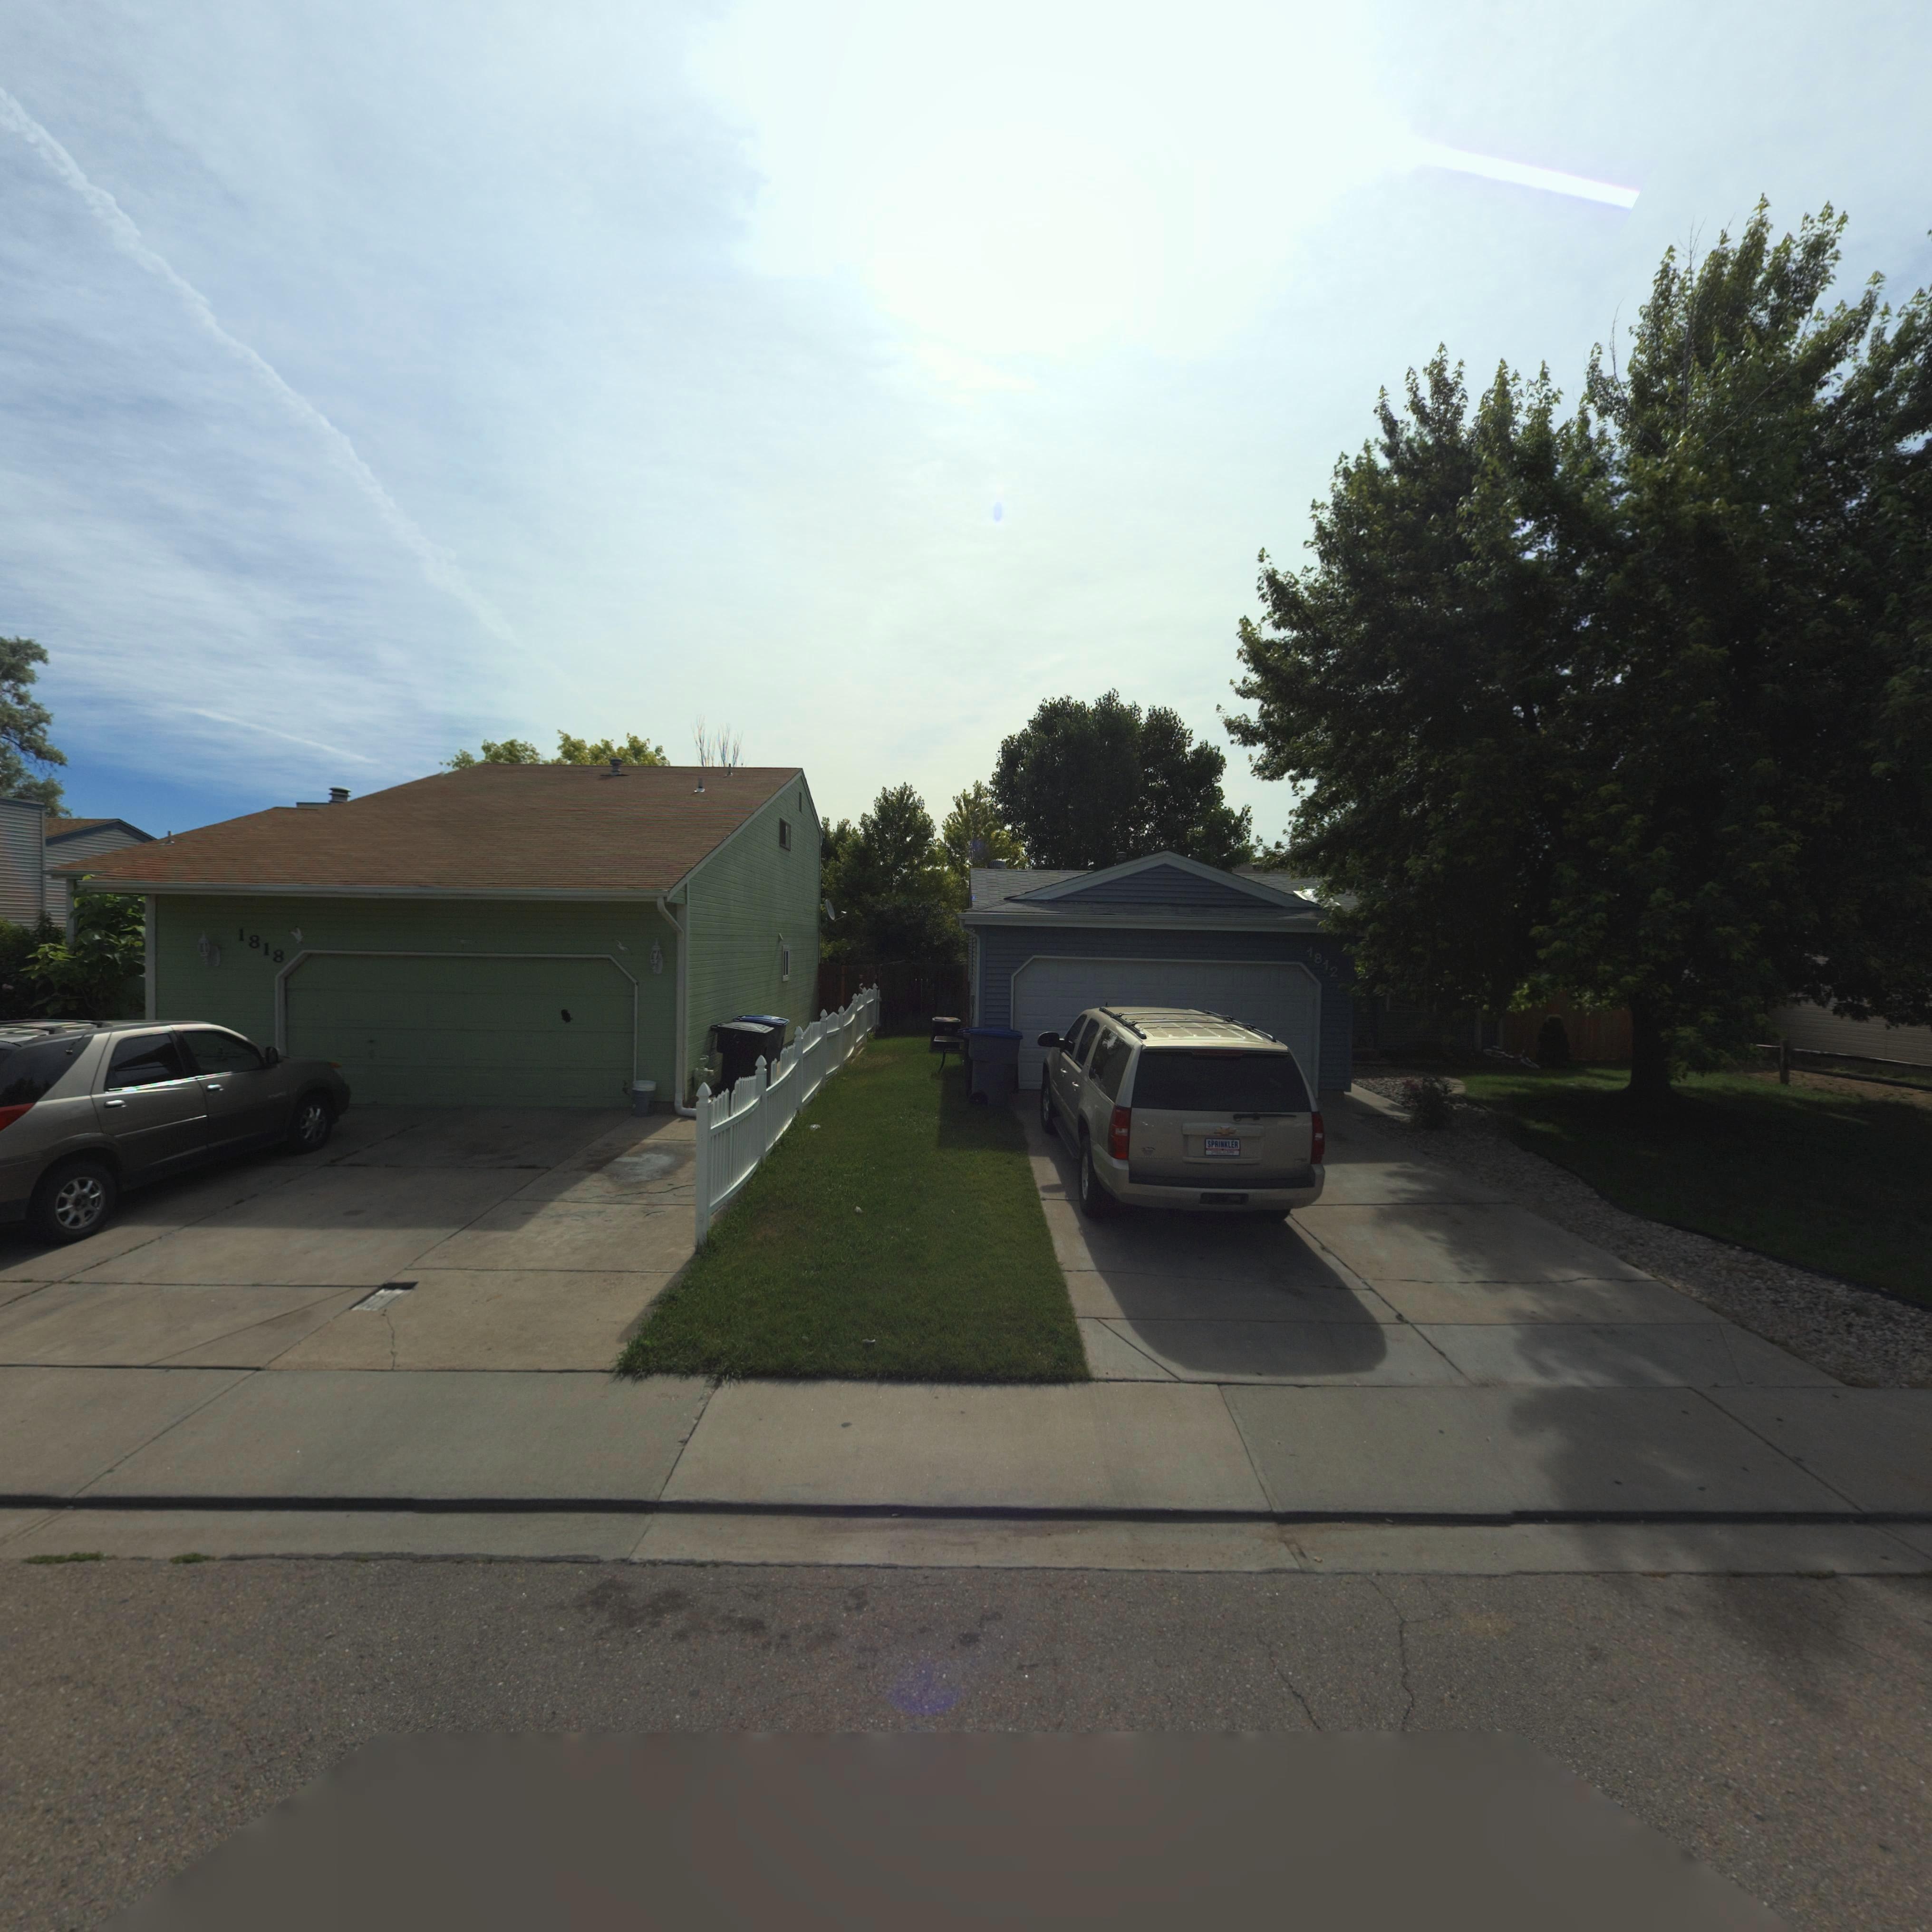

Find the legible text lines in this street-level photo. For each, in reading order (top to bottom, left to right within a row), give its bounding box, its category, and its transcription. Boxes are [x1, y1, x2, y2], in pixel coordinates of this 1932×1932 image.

[237, 927, 285, 964] StreetNumber: 1818
[1306, 946, 1340, 978] StreetNumber: 1812